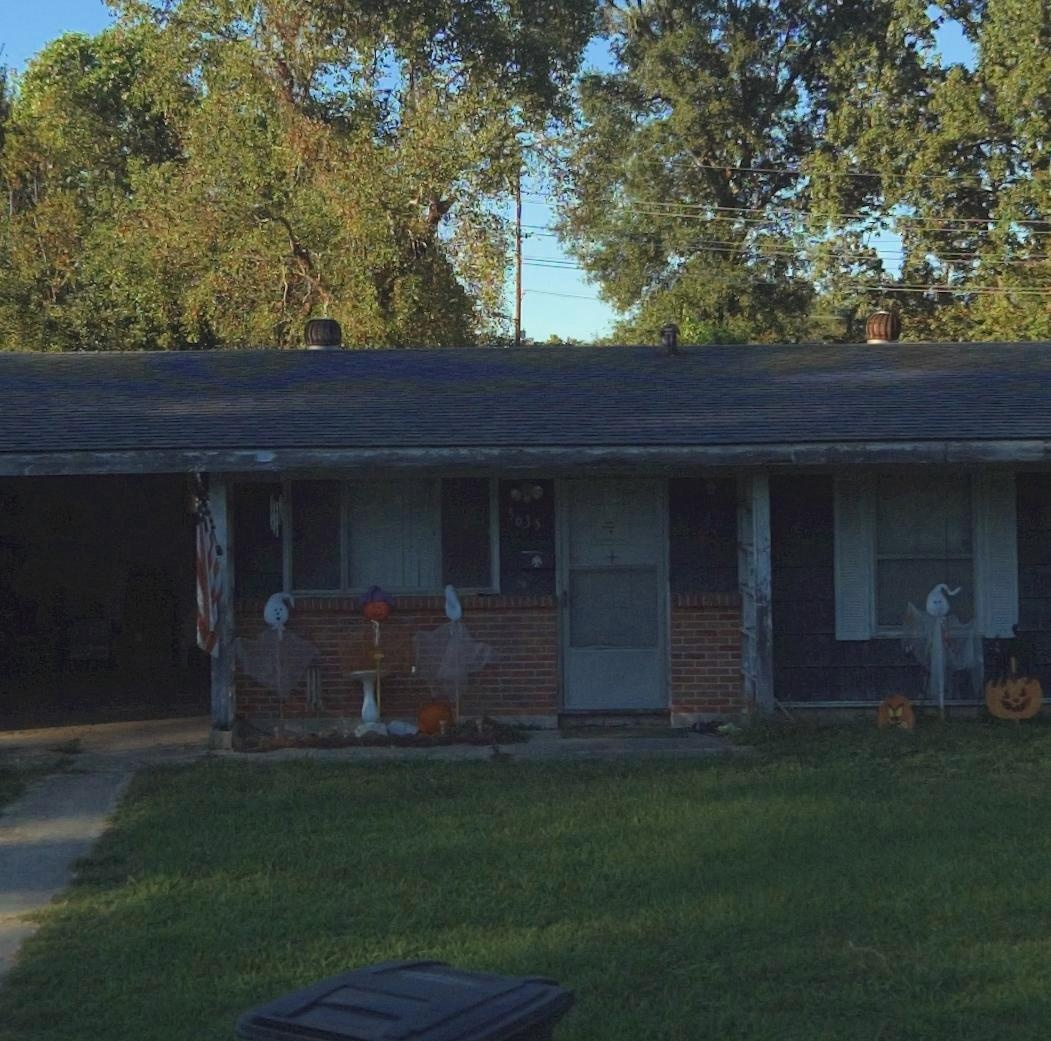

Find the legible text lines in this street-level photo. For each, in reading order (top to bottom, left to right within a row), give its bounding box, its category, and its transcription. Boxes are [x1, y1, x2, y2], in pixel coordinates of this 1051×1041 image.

[505, 506, 544, 531] StreetNumber: 5635